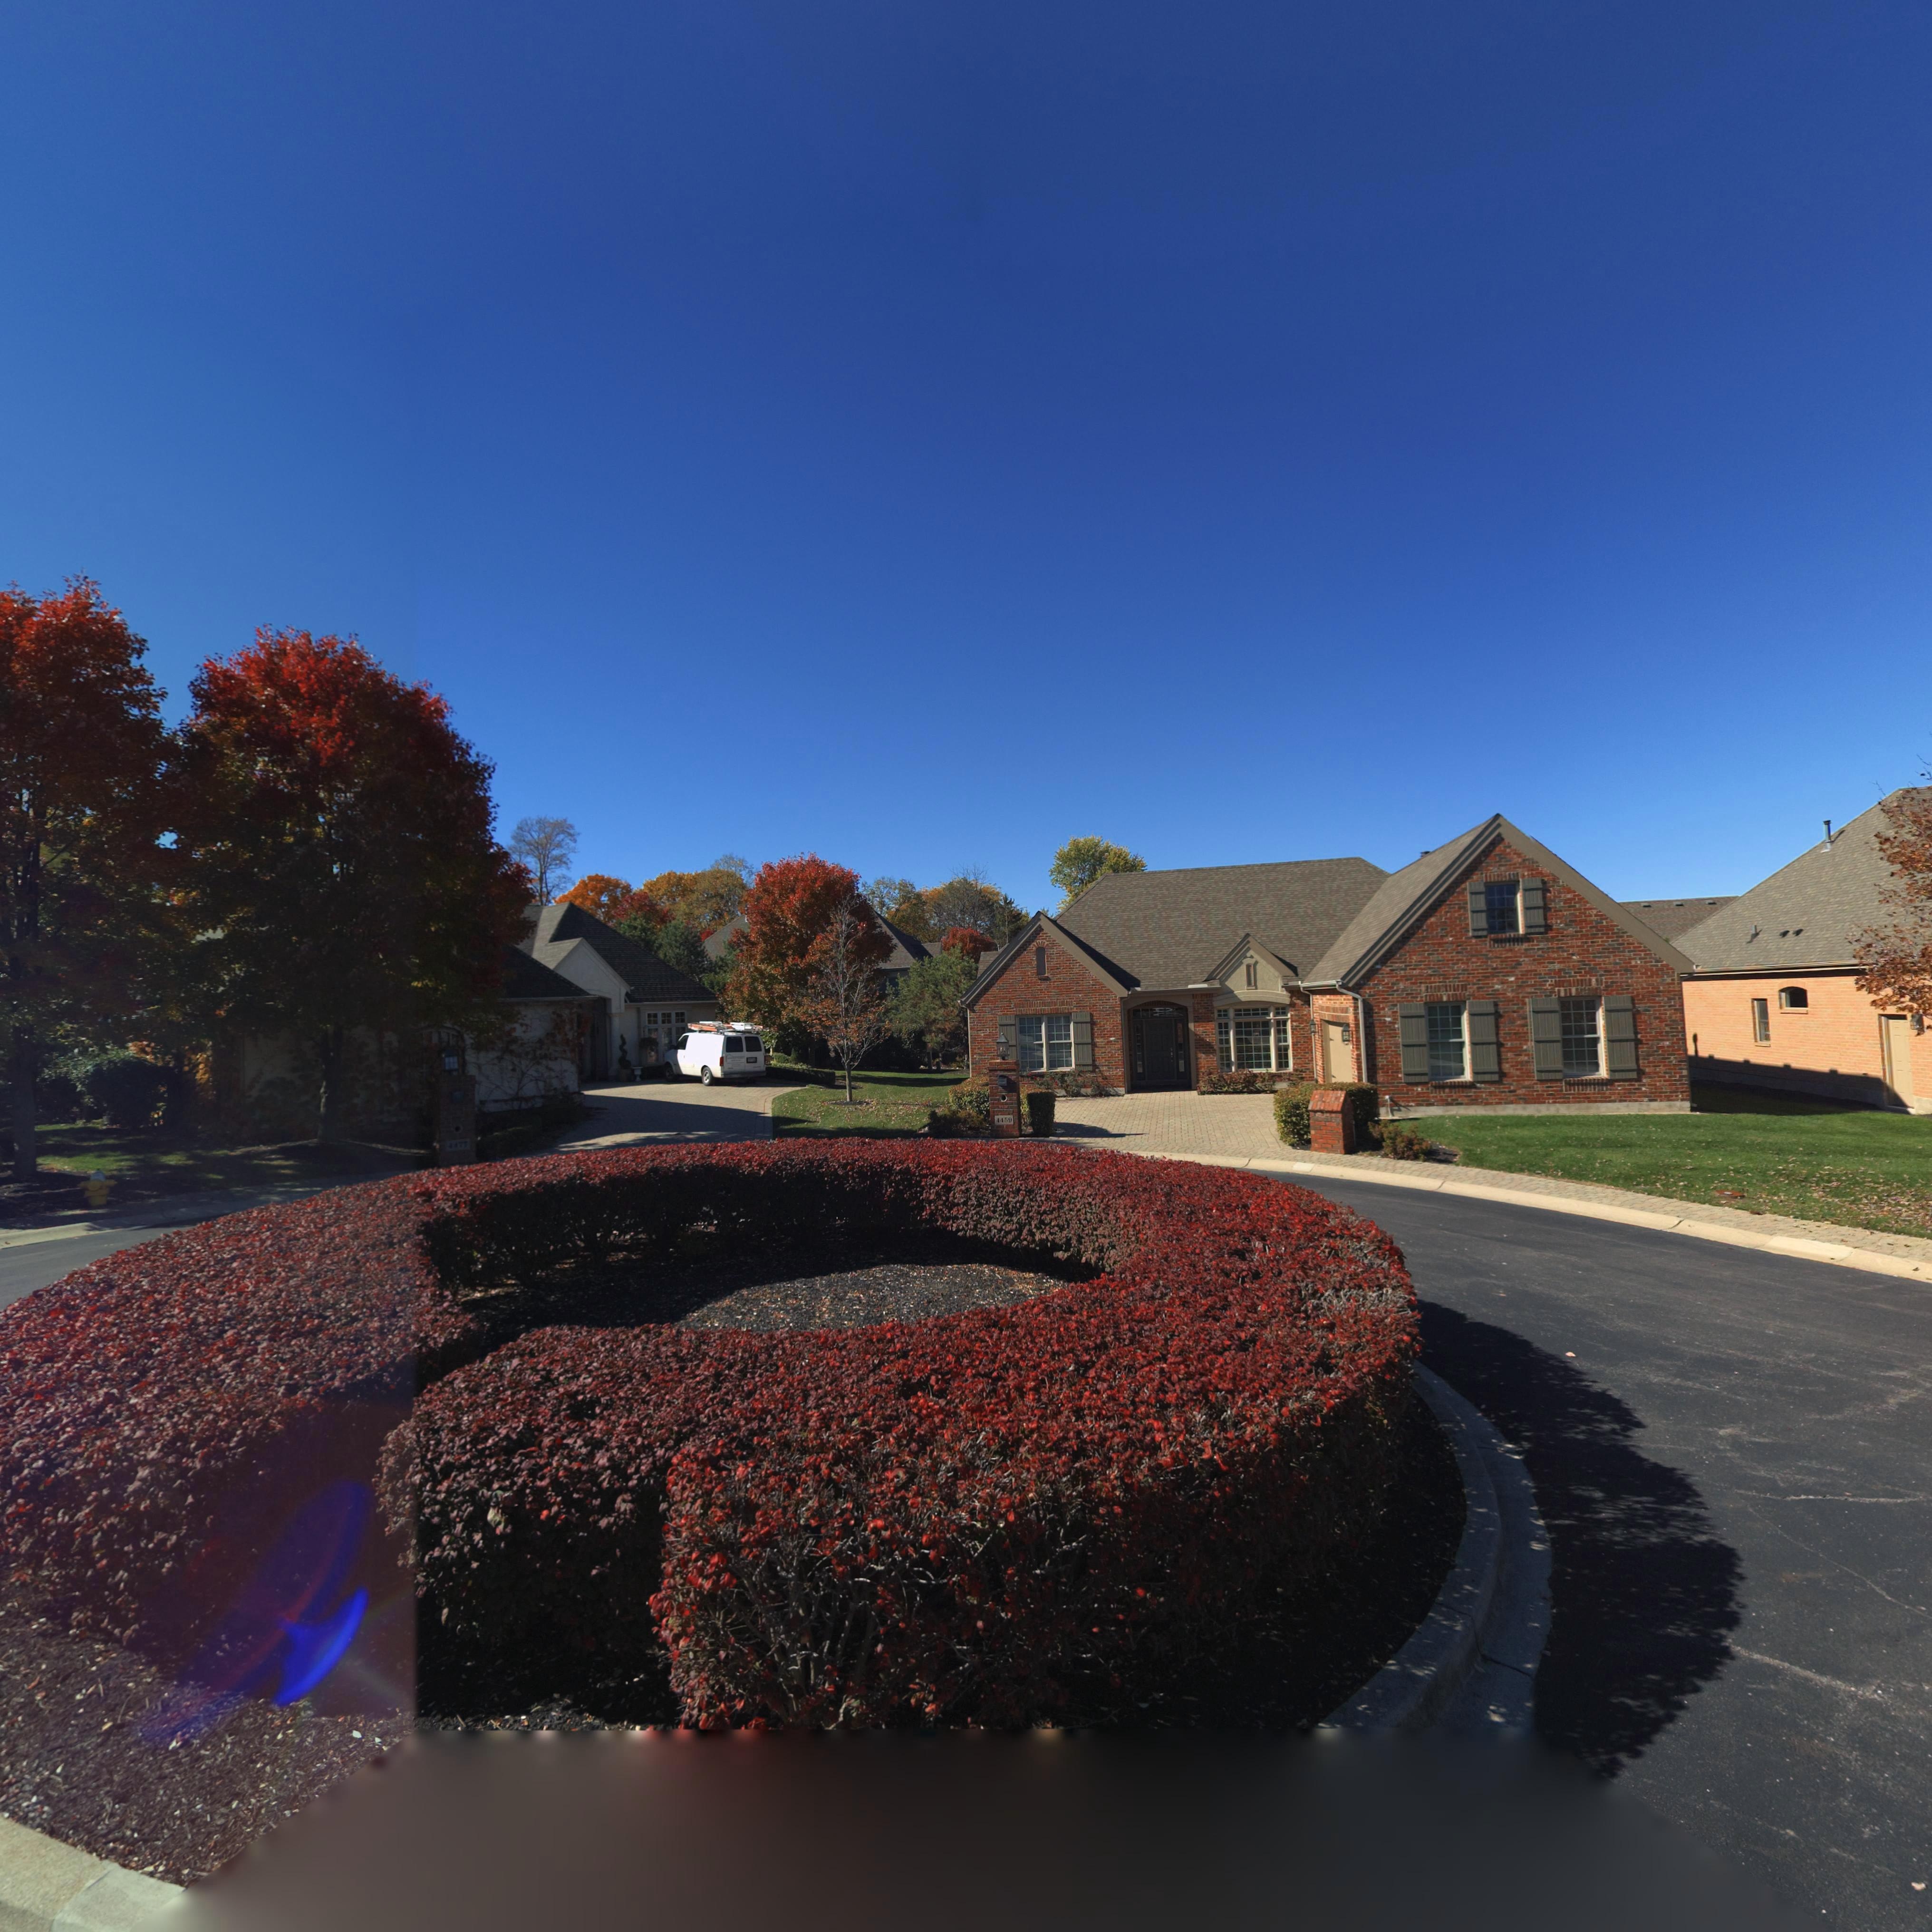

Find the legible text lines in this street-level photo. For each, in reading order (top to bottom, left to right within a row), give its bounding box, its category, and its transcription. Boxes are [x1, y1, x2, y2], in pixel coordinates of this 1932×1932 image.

[995, 1116, 1013, 1123] StreetNumber: 4459
[447, 1140, 469, 1150] StreetNumber: 4477